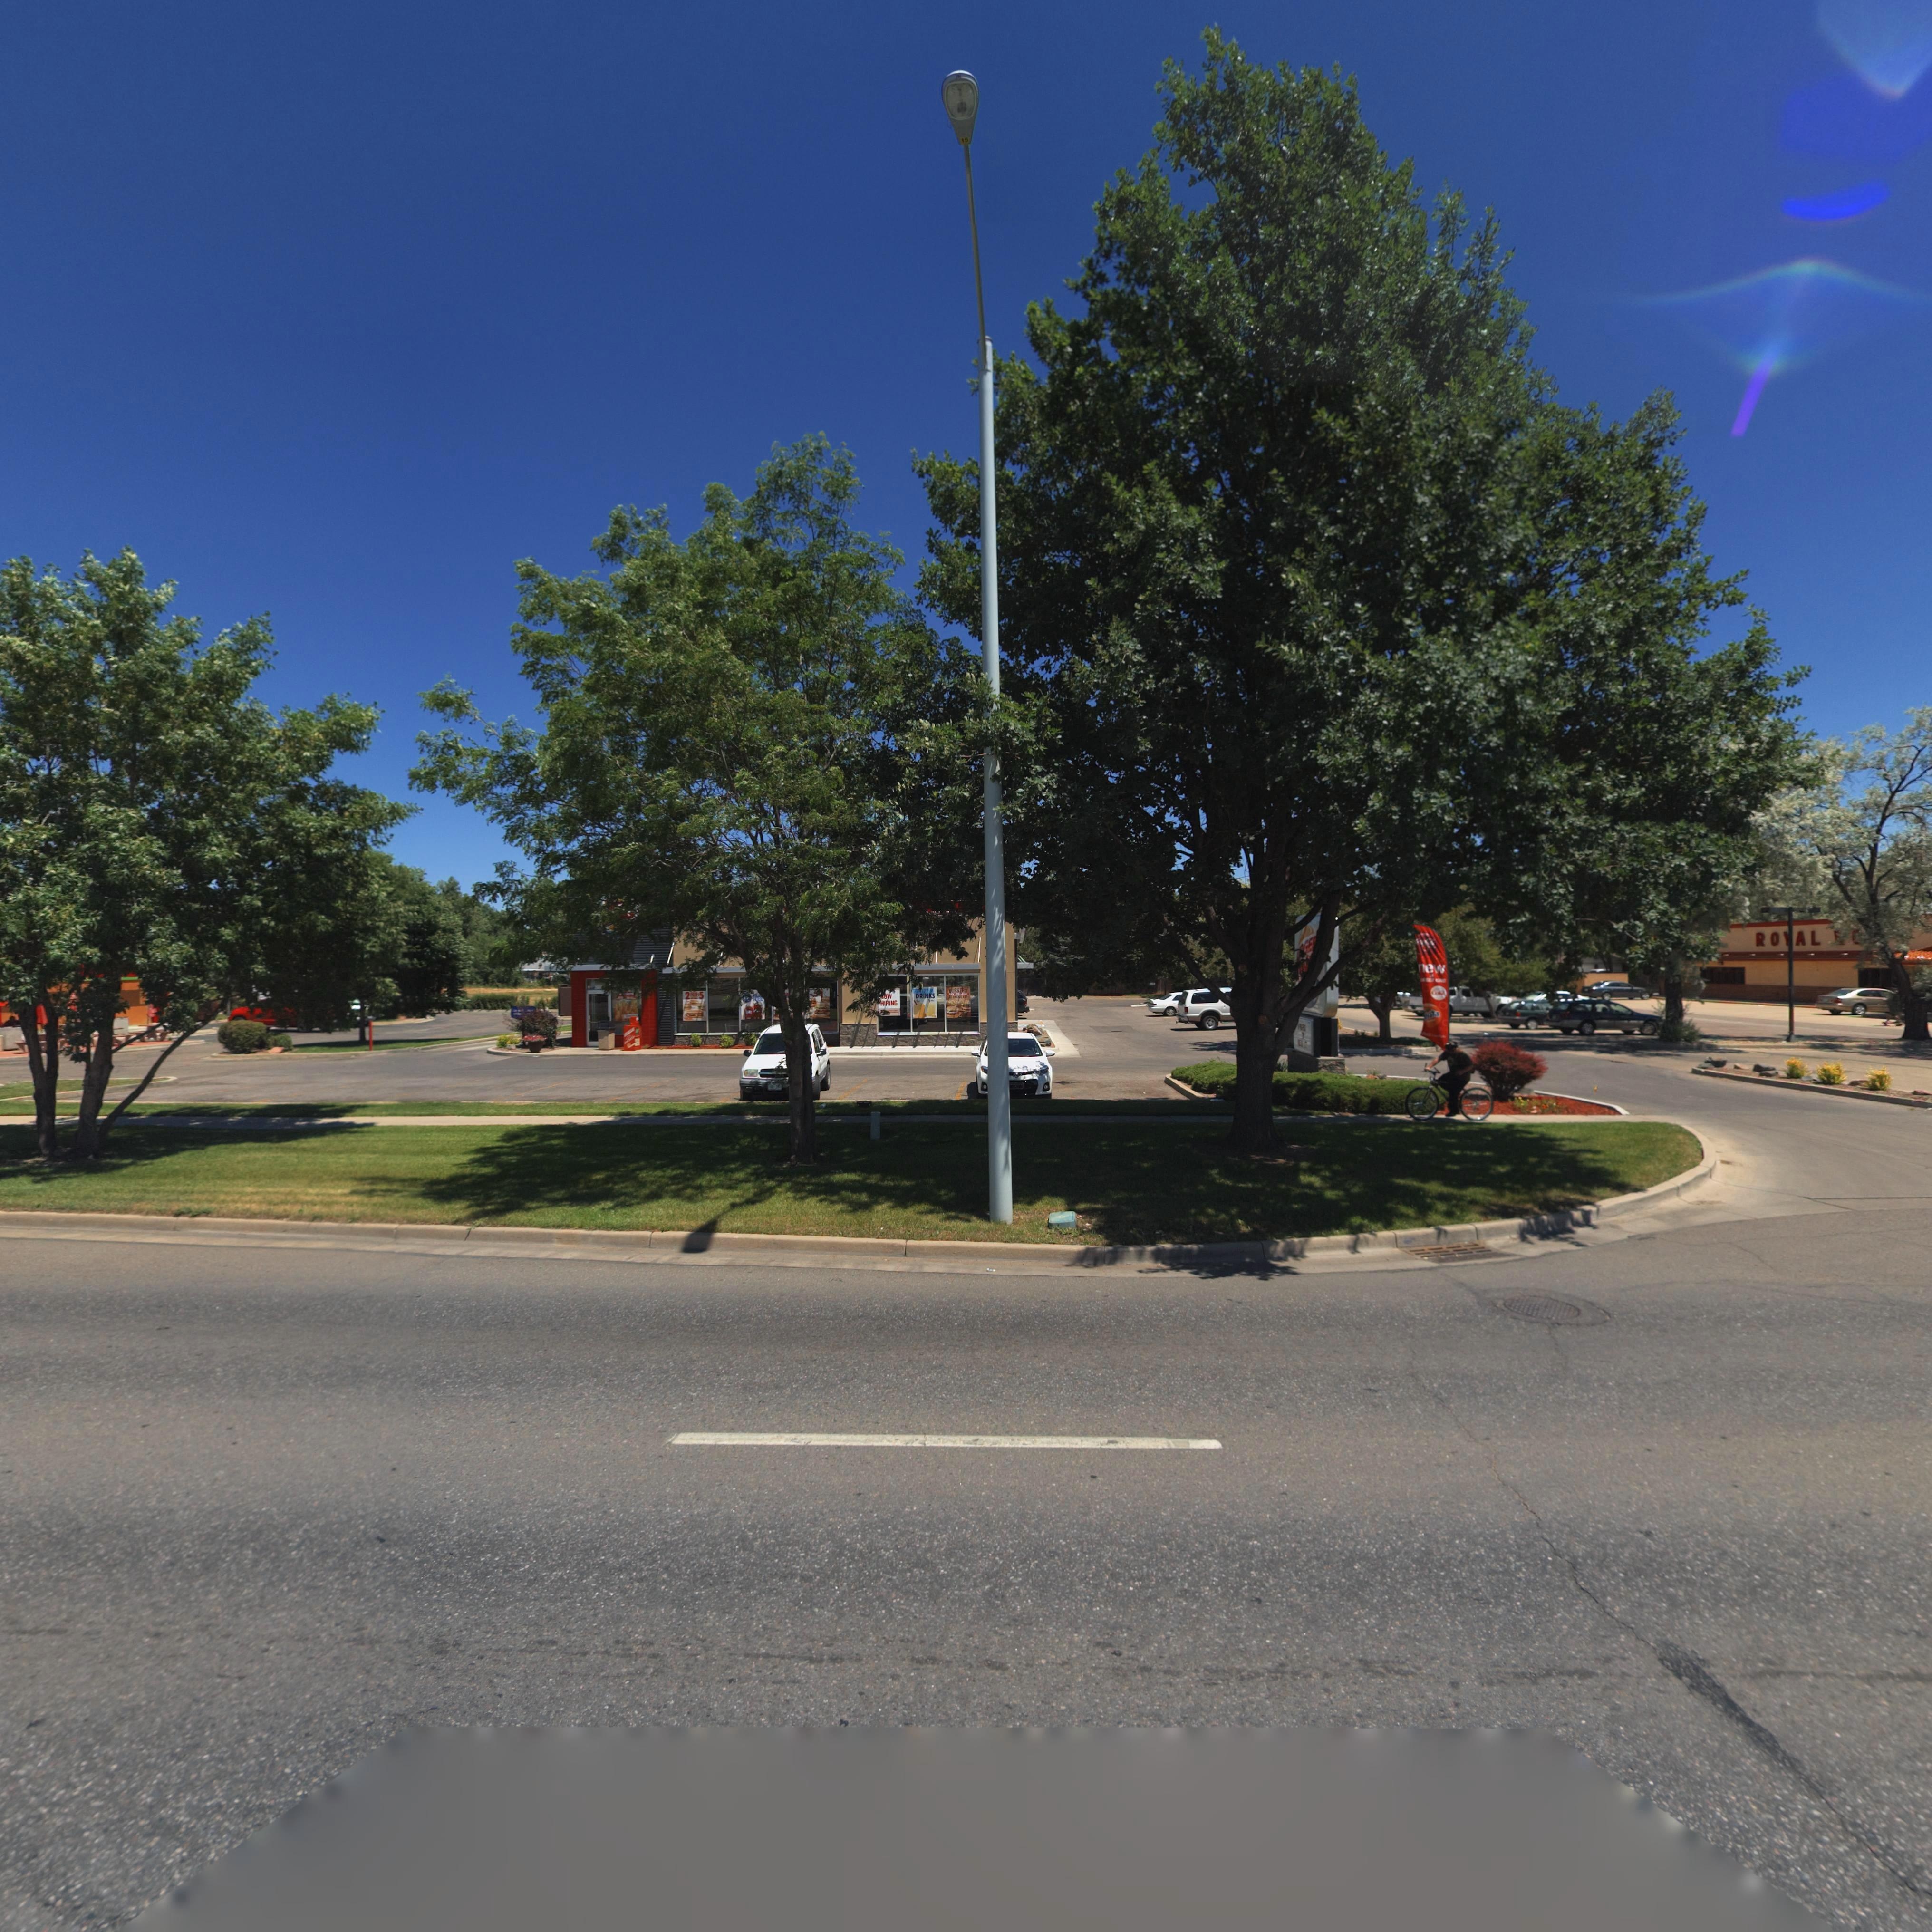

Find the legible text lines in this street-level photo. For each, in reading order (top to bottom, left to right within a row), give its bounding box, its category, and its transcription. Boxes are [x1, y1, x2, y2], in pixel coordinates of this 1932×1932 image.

[1295, 935, 1317, 962] BusinessName: ***GE*
[1755, 929, 1845, 947] BusinessName: RO*AL *